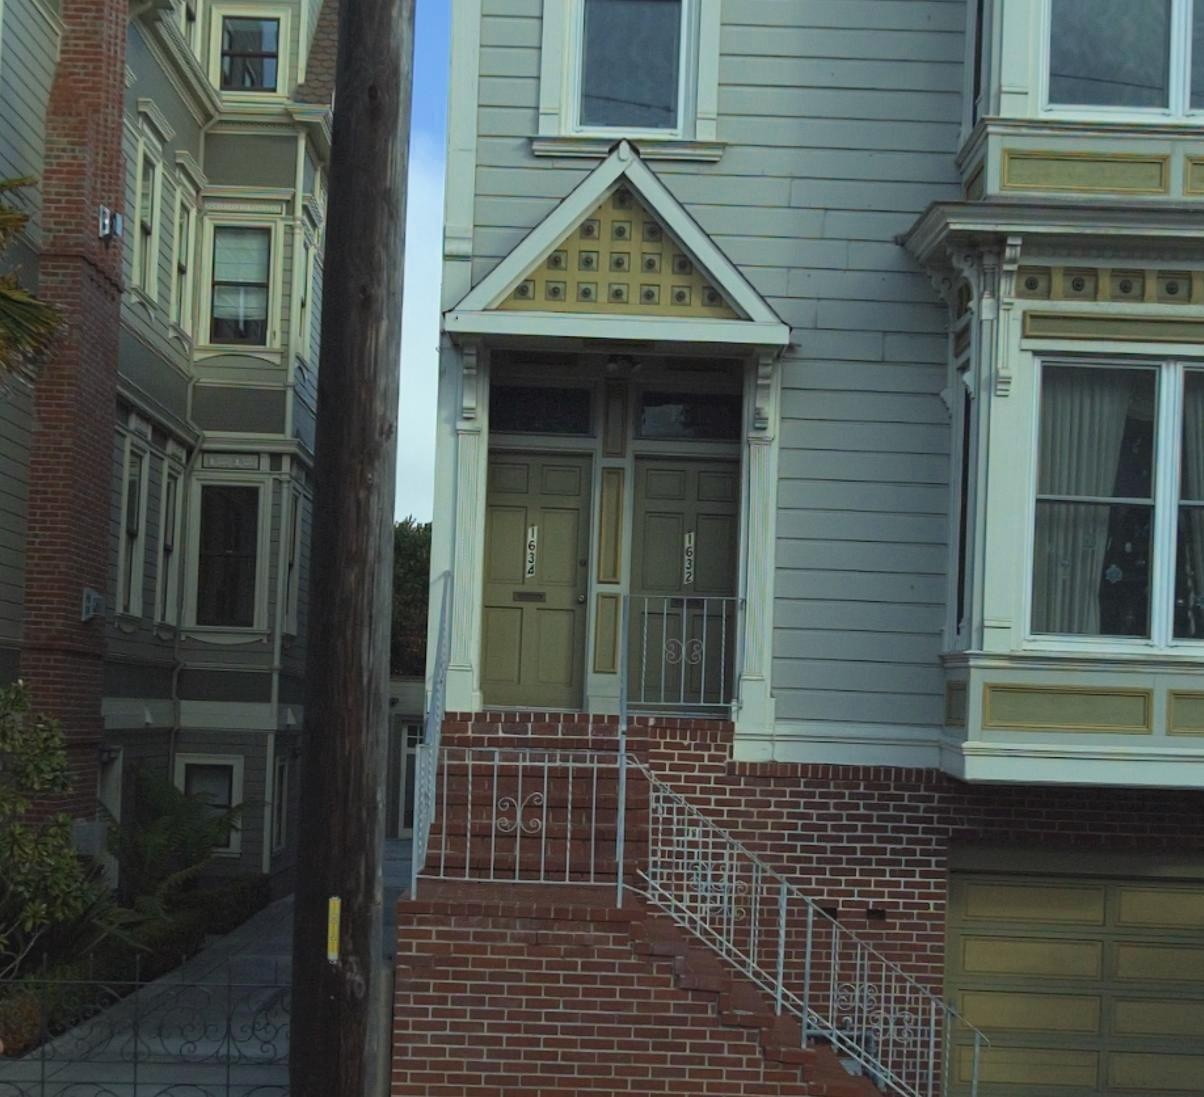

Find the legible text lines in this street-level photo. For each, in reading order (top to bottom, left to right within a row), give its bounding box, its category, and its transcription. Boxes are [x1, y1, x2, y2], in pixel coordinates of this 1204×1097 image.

[526, 526, 537, 578] StreetNumber: 1634
[683, 531, 695, 584] StreetNumber: 1632